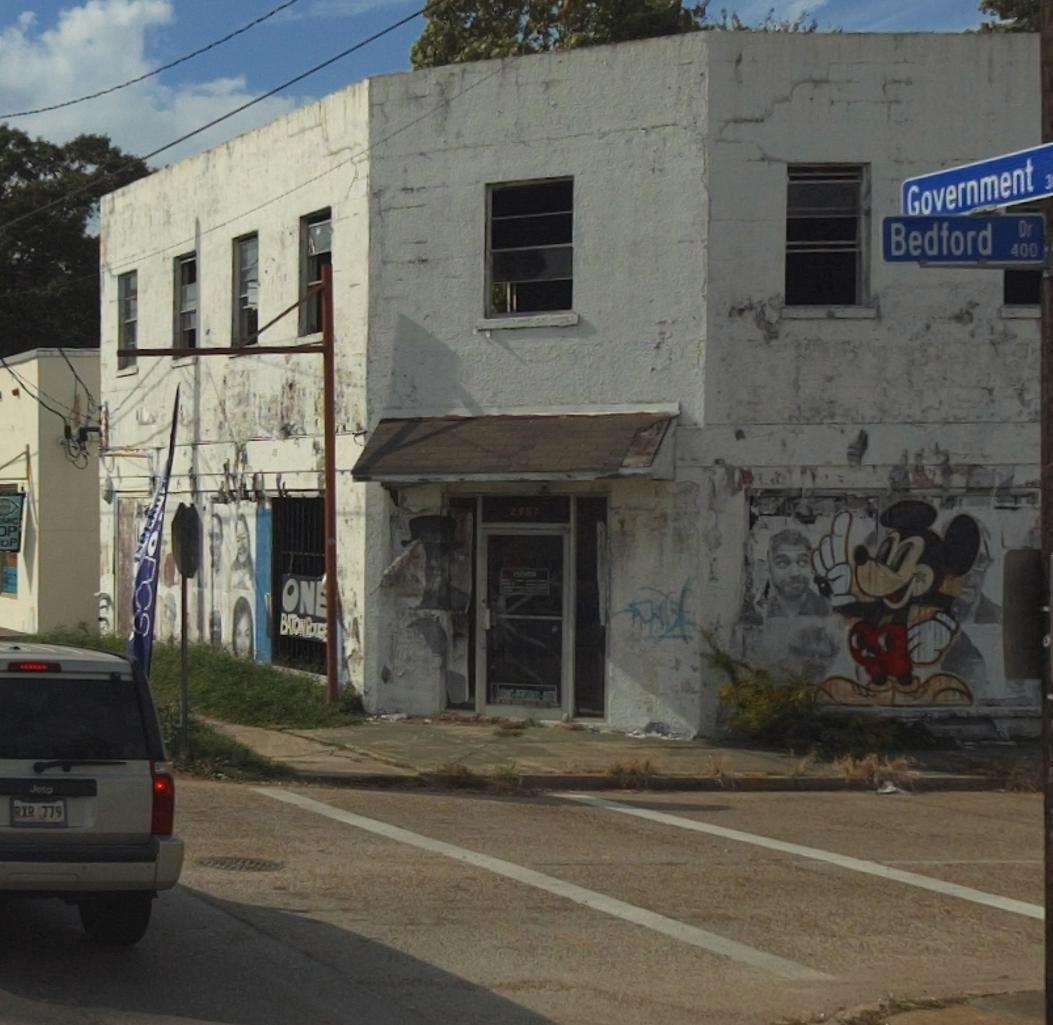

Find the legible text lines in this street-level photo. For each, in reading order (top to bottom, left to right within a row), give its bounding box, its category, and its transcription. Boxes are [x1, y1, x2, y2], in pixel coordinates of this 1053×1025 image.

[903, 153, 1039, 222] StreetName: Government
[885, 217, 1038, 262] StreetName: Bedford Dr
[1007, 240, 1044, 259] StreetNumber: 400
[500, 500, 553, 525] StreetNumber: 2987
[5, 524, 18, 538] None: P
[8, 536, 19, 548] None: P
[276, 574, 332, 622] None: ONE
[277, 609, 330, 644] None: BATON ROUGE